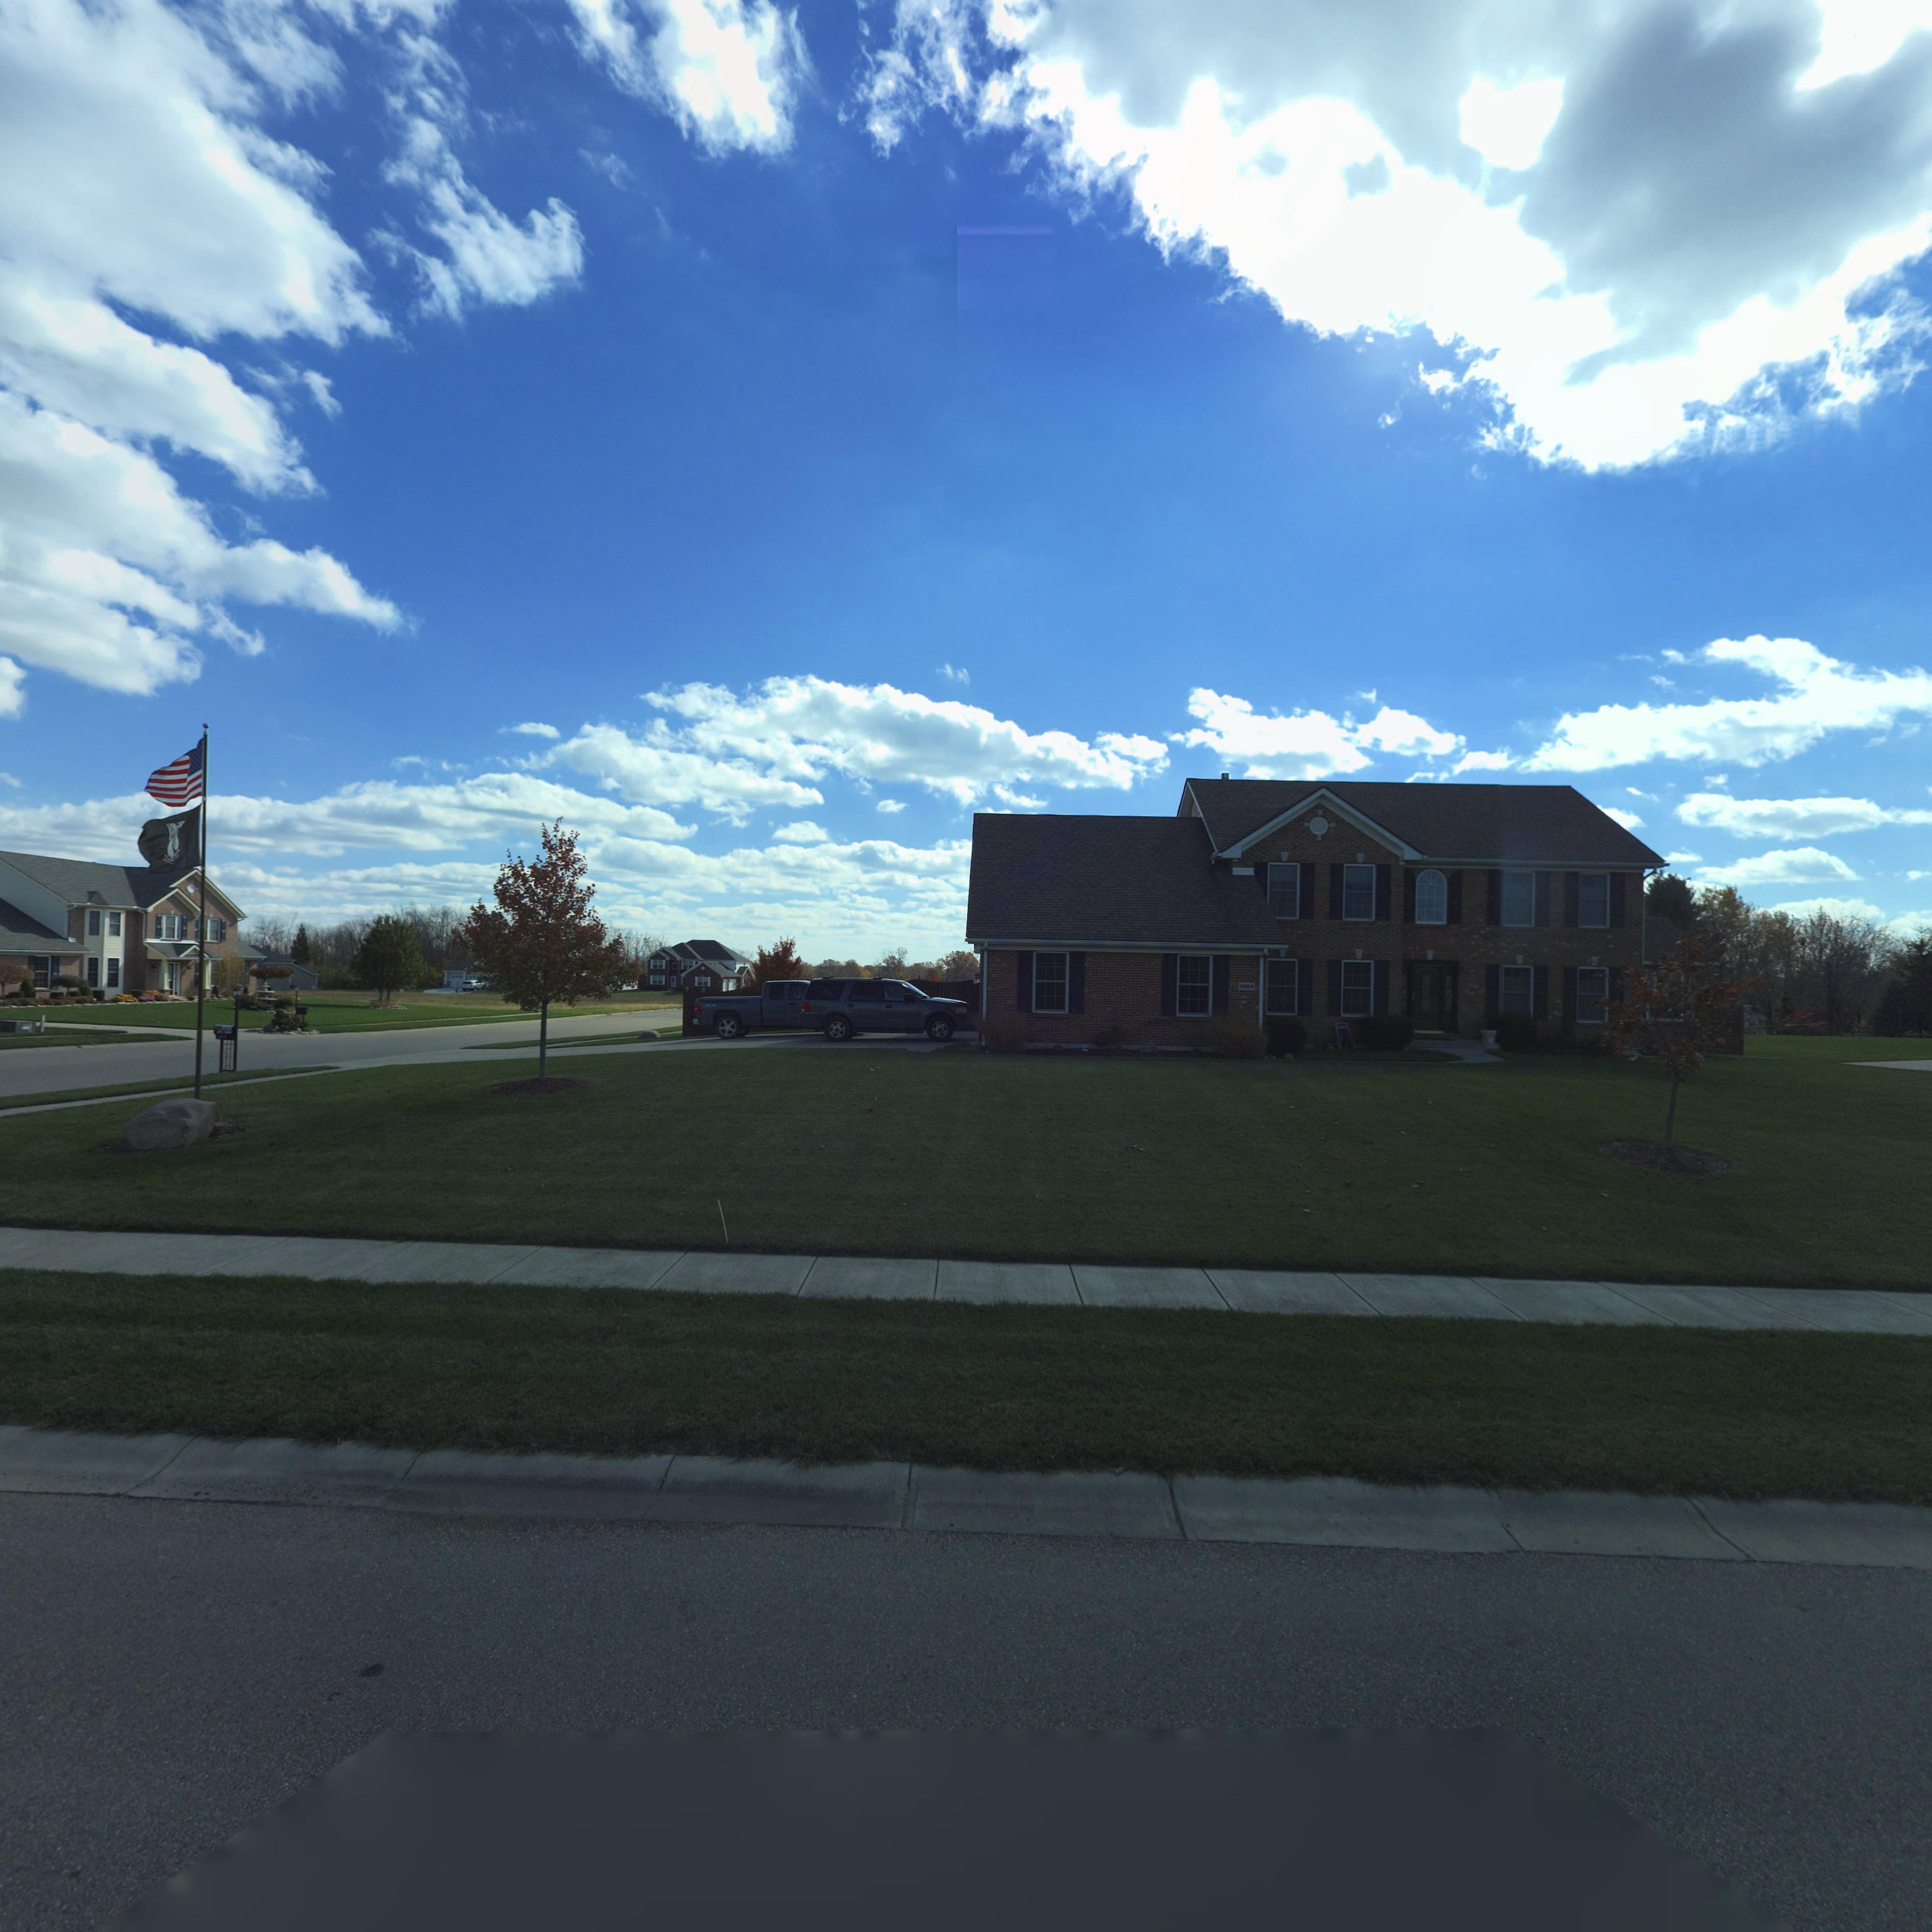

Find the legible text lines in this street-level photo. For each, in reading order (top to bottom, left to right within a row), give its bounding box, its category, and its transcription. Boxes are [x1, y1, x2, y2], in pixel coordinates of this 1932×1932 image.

[1239, 984, 1254, 989] StreetNumber: *864